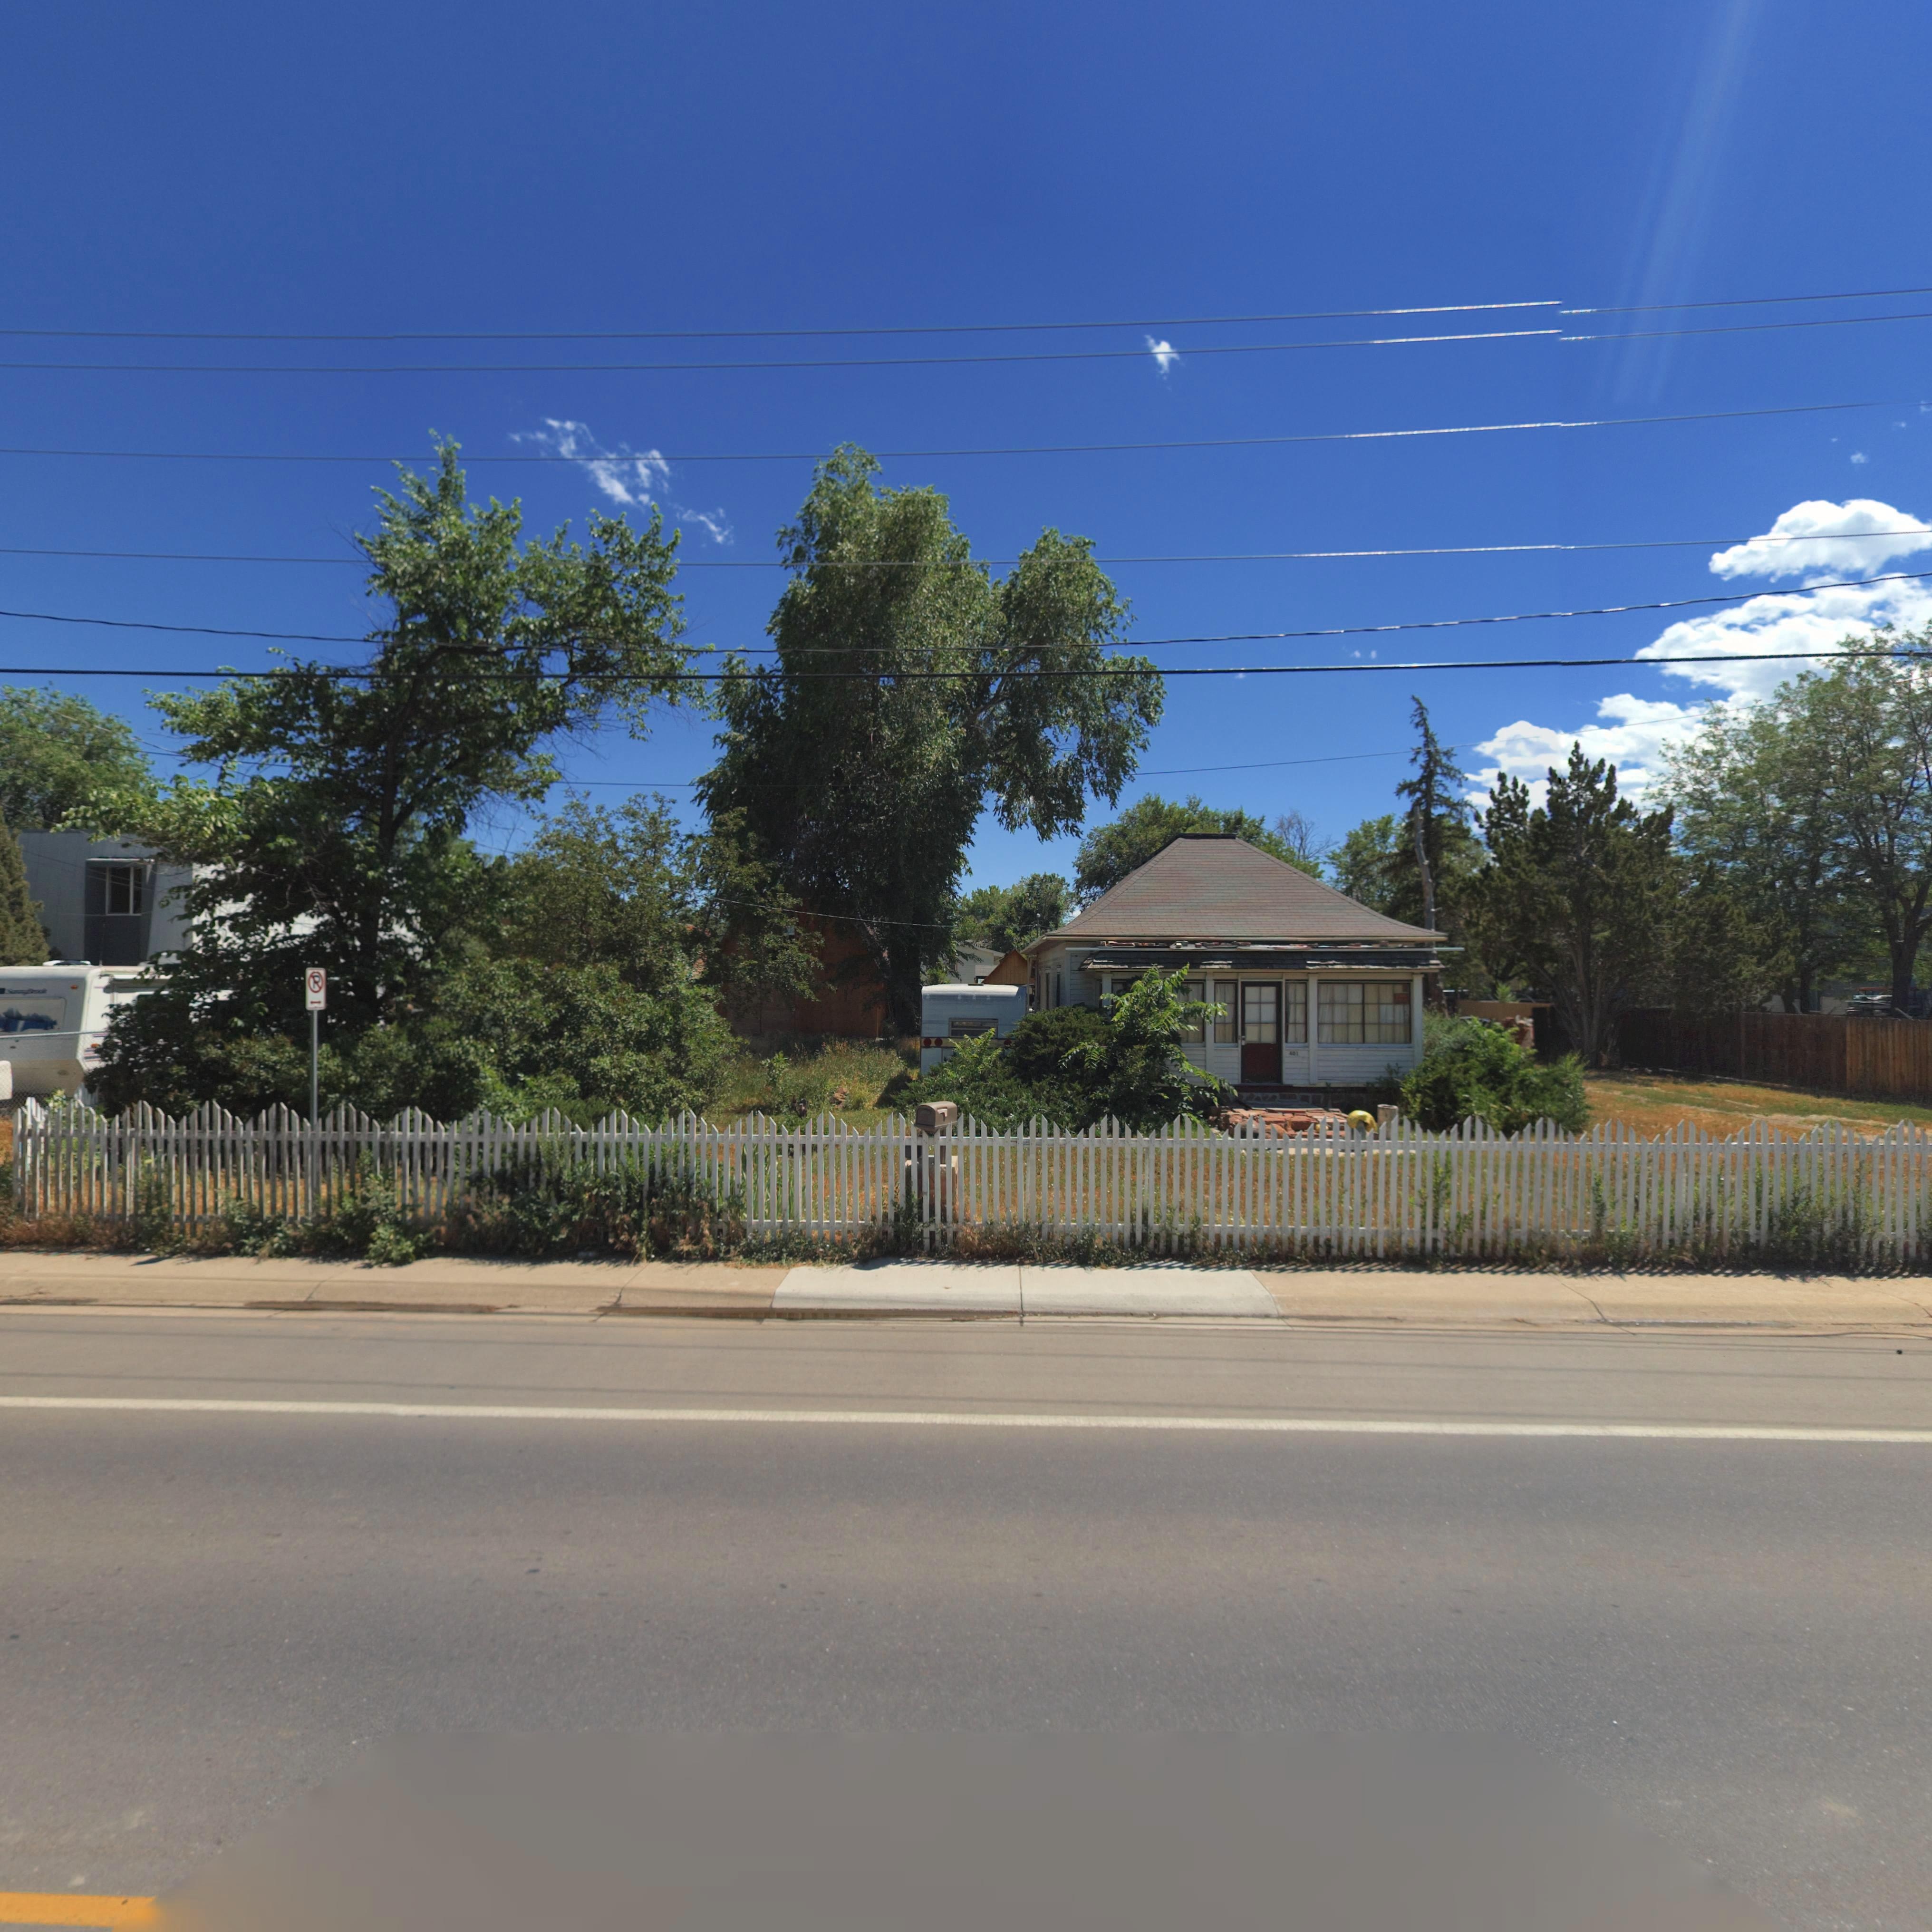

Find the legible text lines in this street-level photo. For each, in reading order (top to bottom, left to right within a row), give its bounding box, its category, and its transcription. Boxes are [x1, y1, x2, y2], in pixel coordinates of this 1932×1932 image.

[1289, 1051, 1298, 1056] StreetNumber: 401